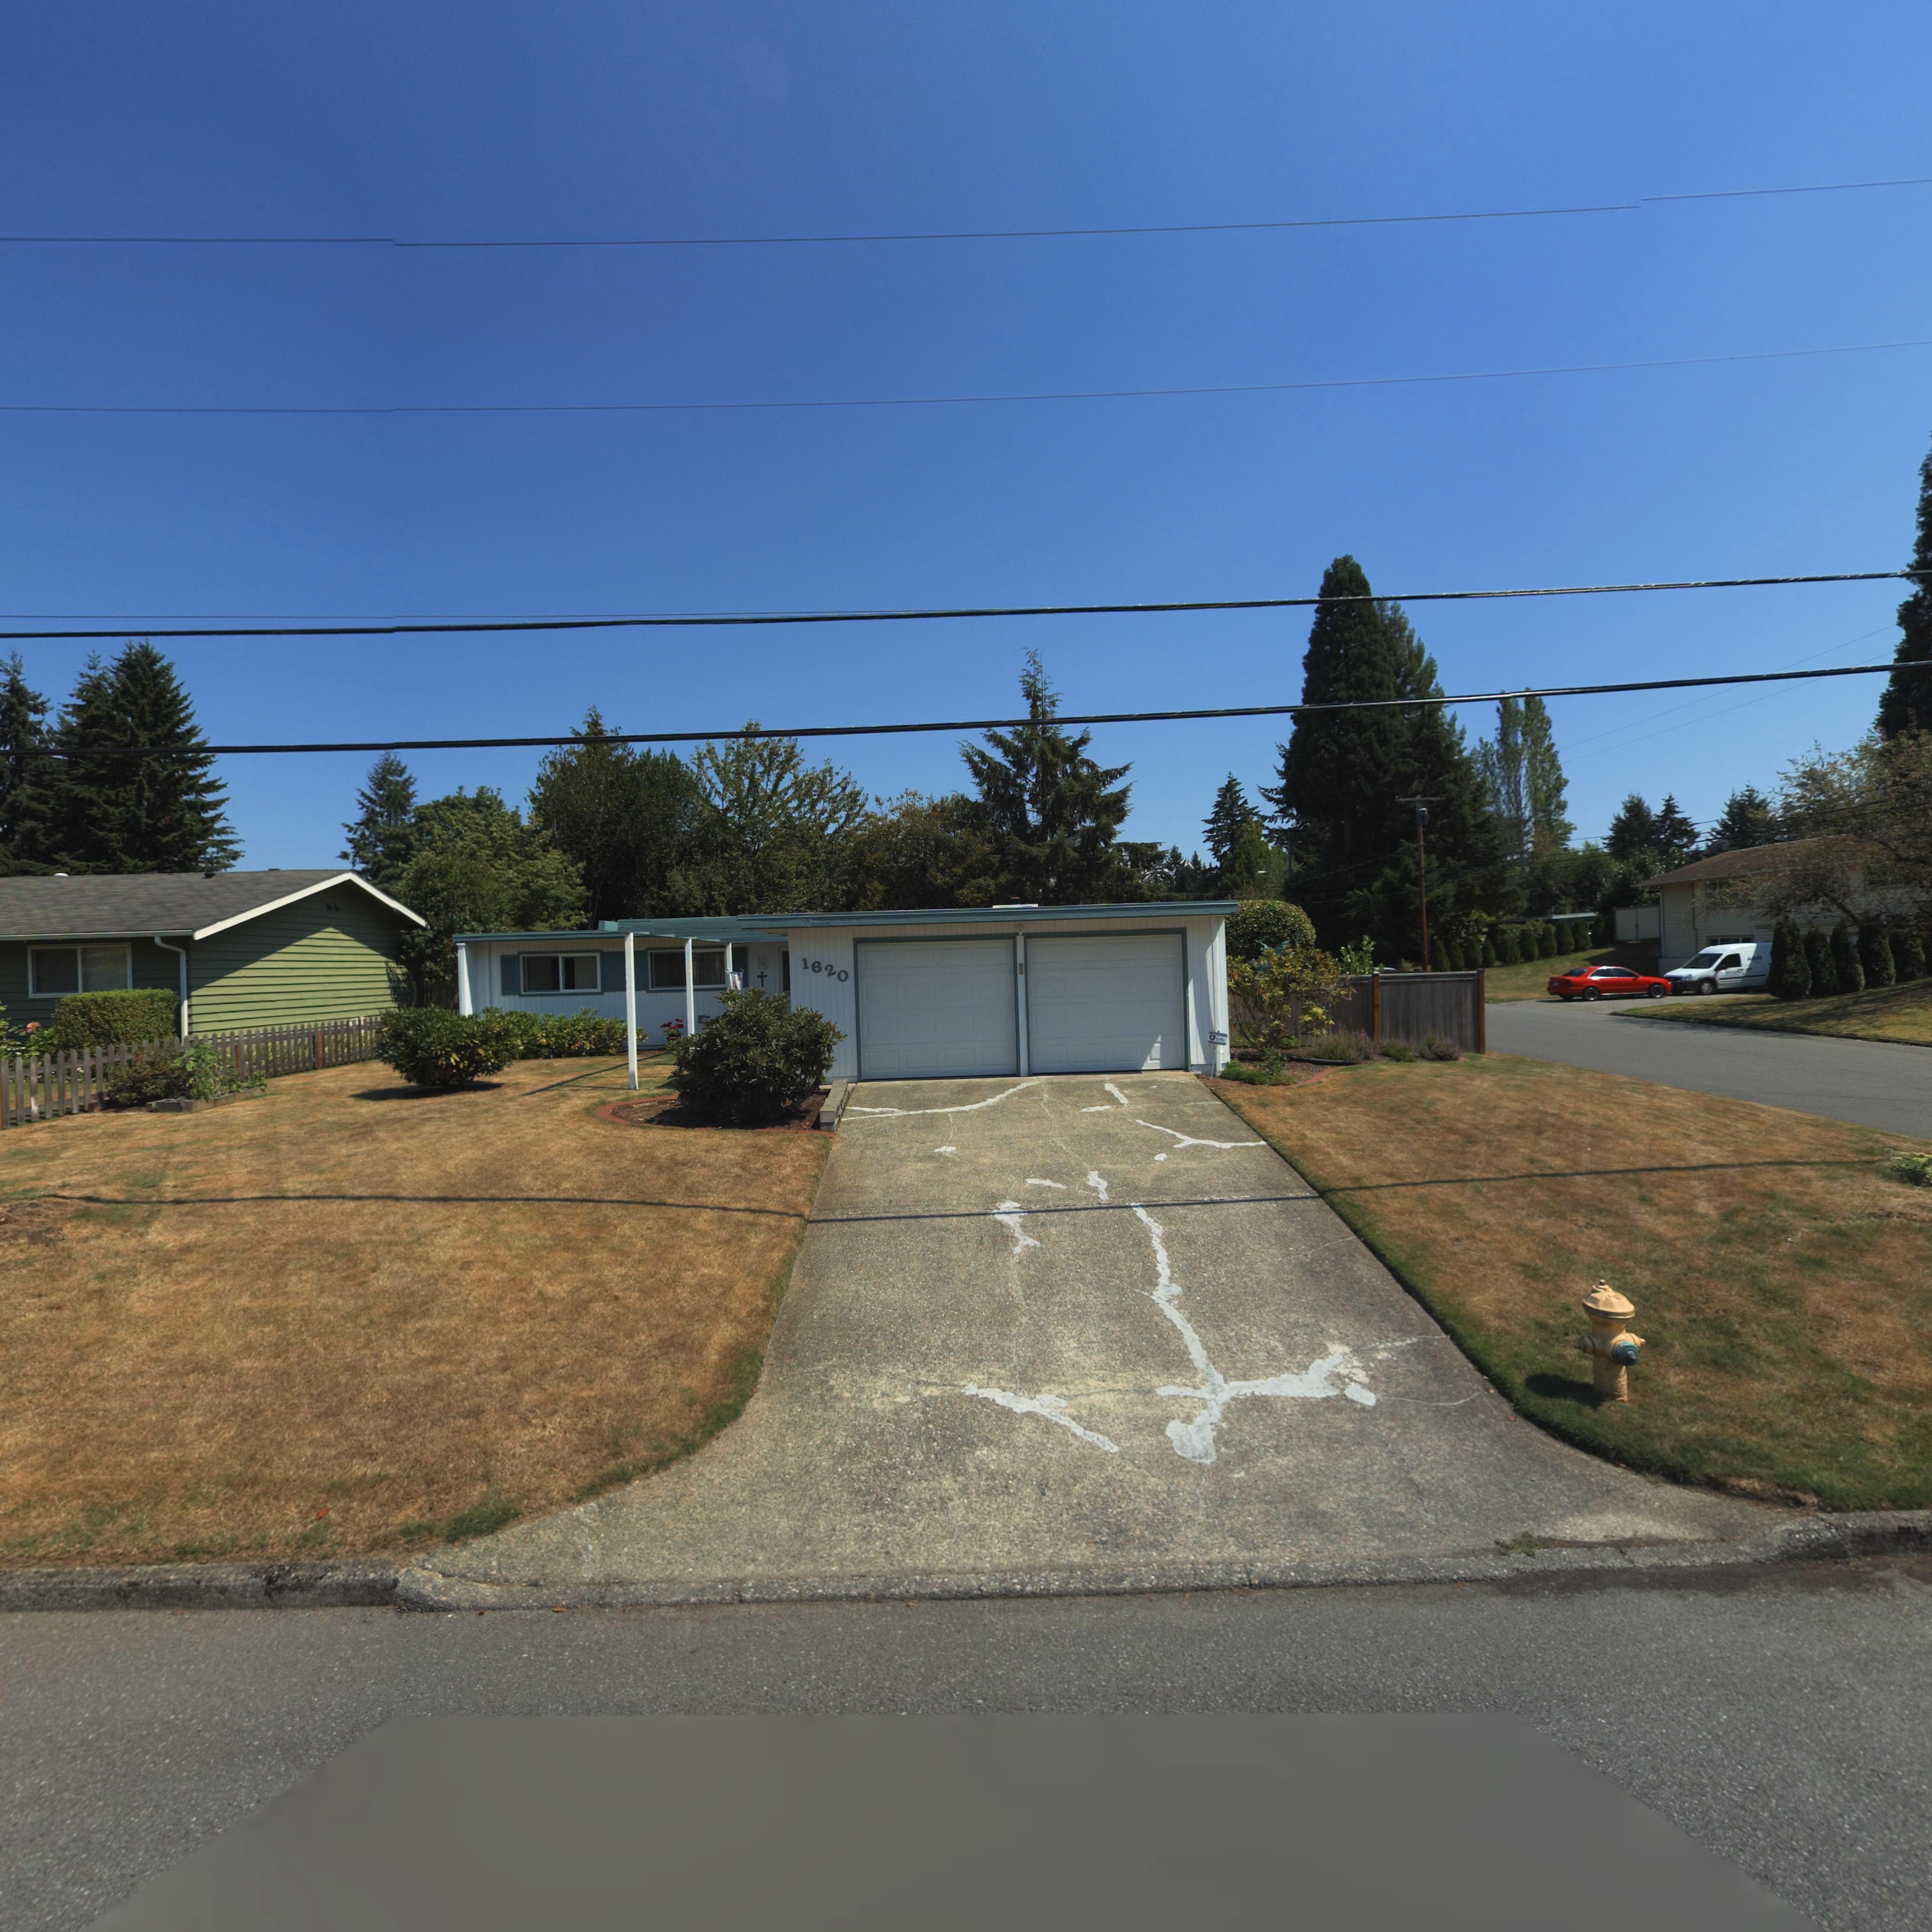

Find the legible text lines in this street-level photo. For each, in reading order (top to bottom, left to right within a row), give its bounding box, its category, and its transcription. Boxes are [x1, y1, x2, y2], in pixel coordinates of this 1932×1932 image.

[802, 957, 848, 983] StreetNumber: 1620